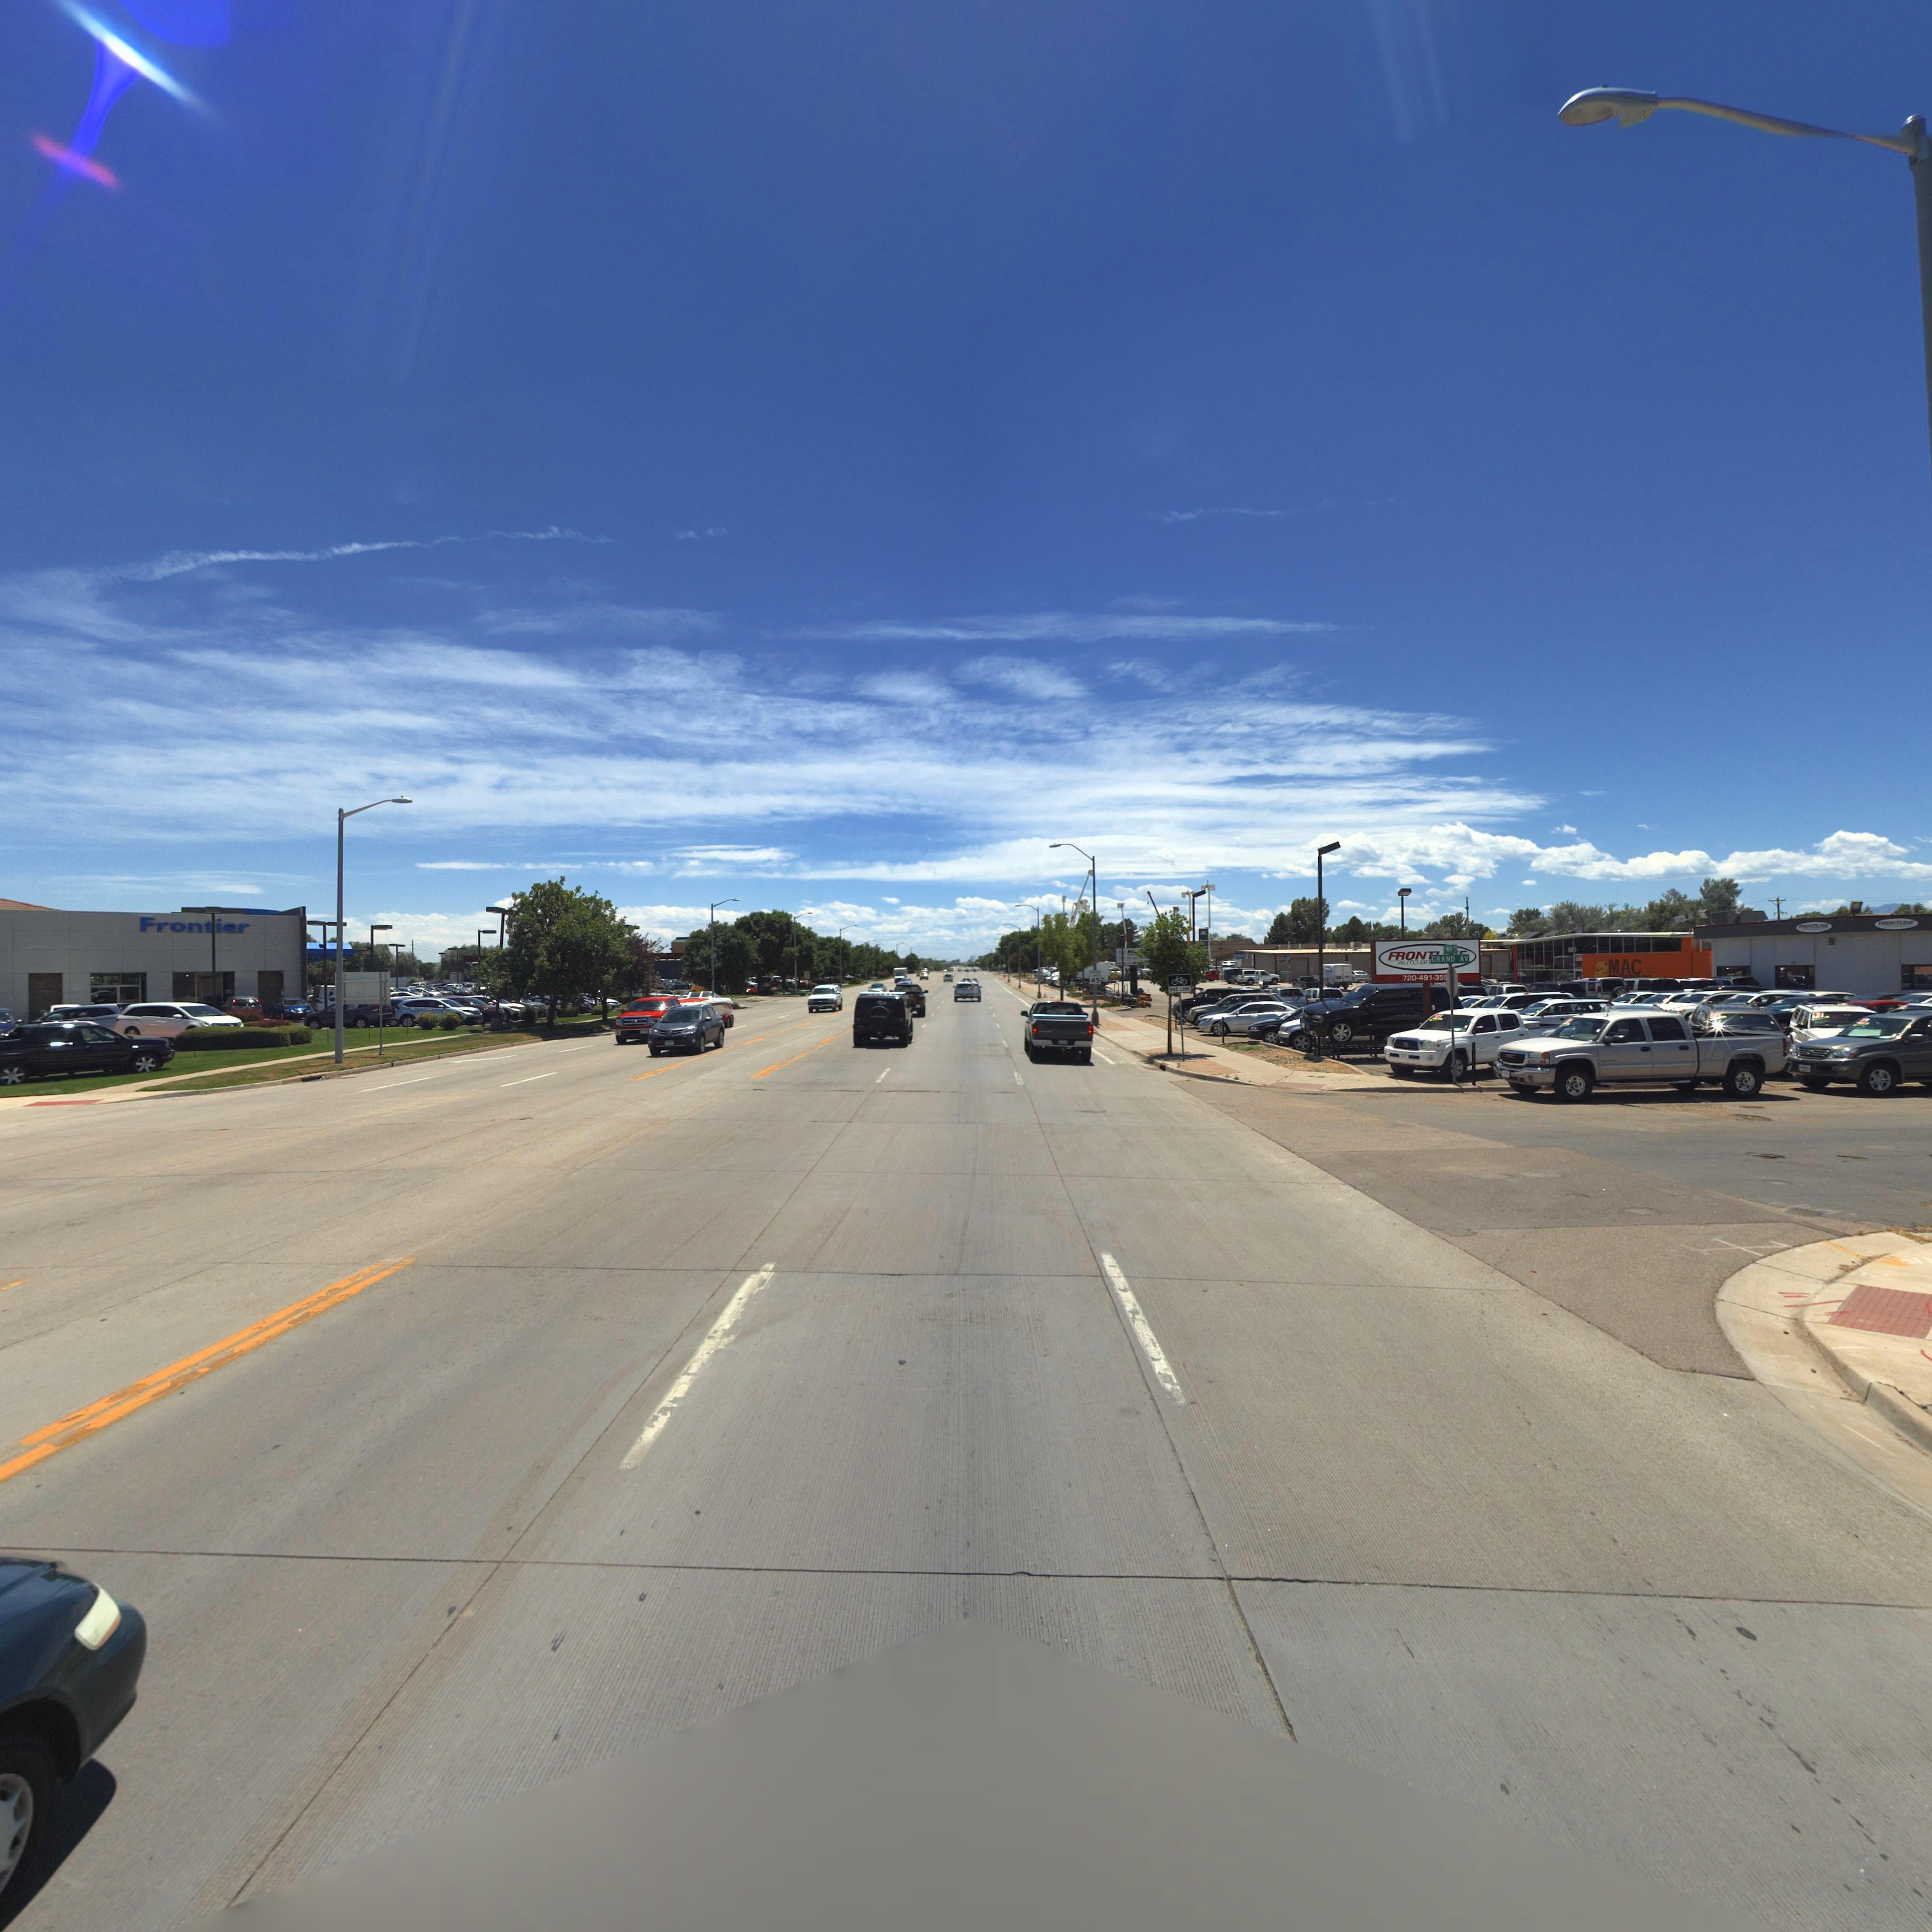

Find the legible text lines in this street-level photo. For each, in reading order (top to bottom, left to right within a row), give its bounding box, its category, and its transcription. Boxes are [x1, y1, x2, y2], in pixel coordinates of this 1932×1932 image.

[1877, 920, 1914, 925] BusinessName: F********
[1798, 923, 1828, 928] BusinessName: FRONTL***
[1387, 949, 1468, 960] BusinessName: FRONT****
[1431, 954, 1469, 962] StreetName: GRAND AV
[1396, 960, 1430, 965] BusinessName: Auto Br